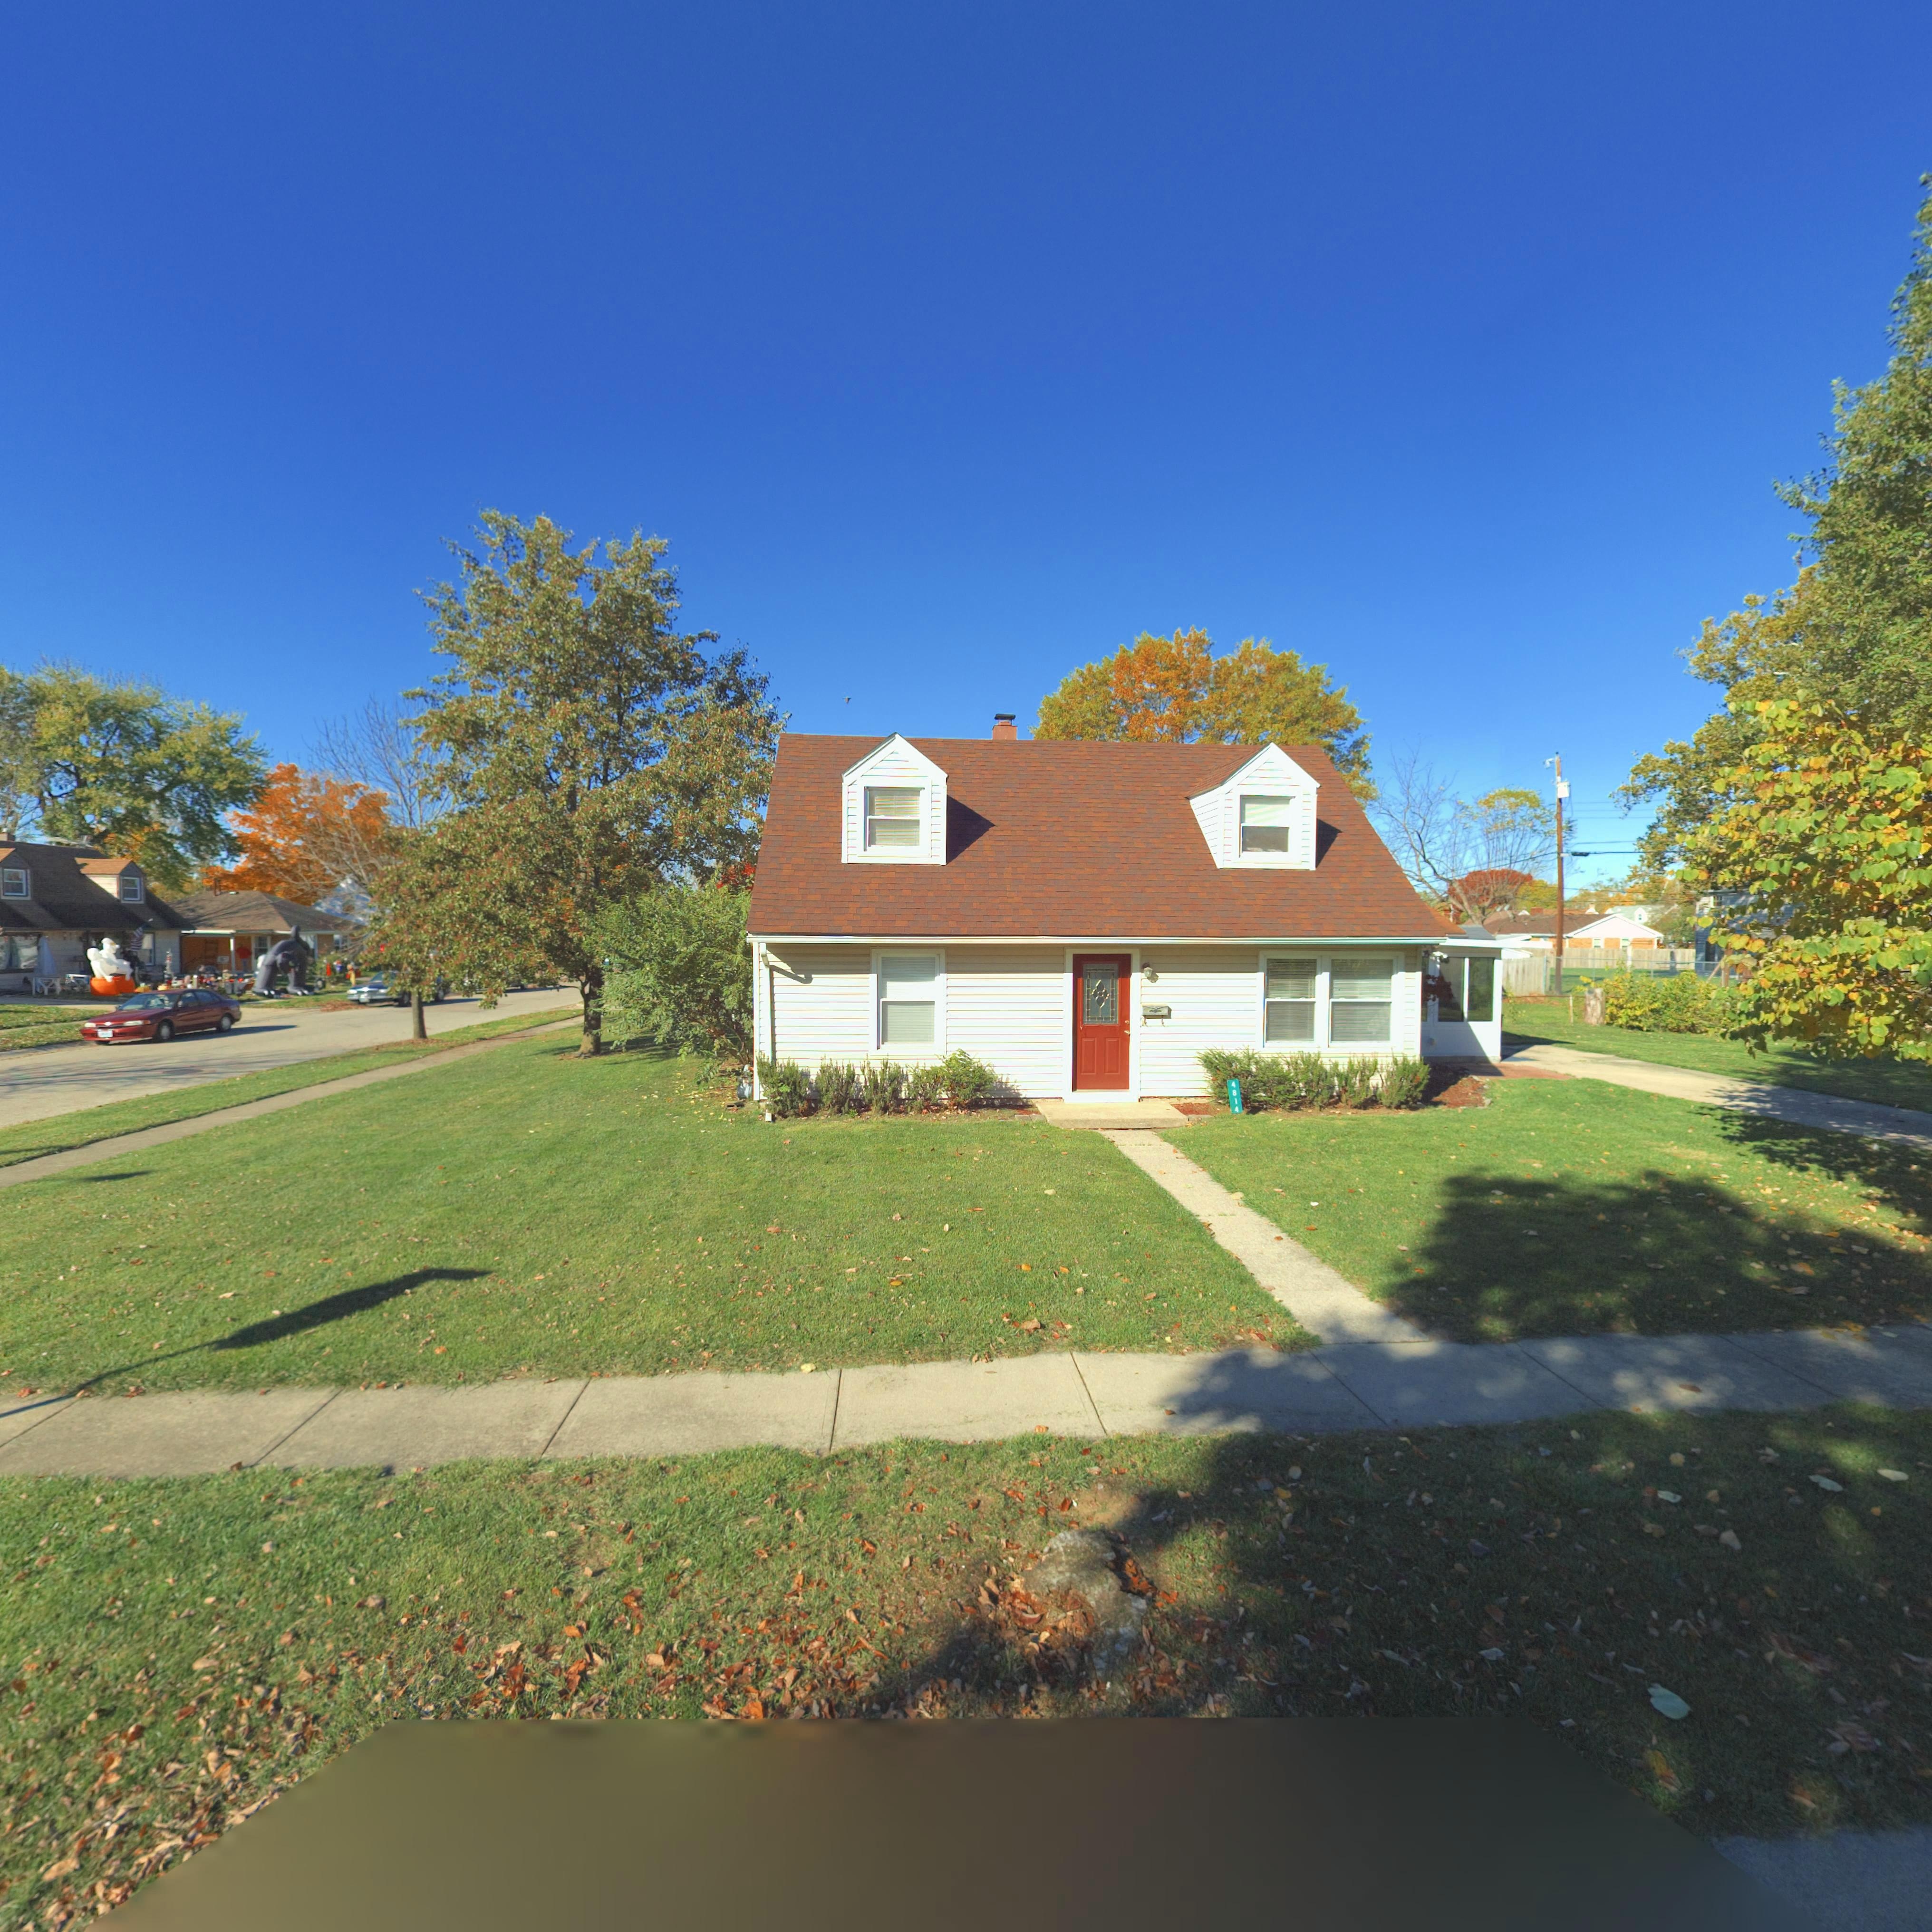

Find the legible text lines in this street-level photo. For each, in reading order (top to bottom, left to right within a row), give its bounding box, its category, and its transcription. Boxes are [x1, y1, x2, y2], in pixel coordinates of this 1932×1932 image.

[1230, 1080, 1240, 1114] StreetNumber: 4814